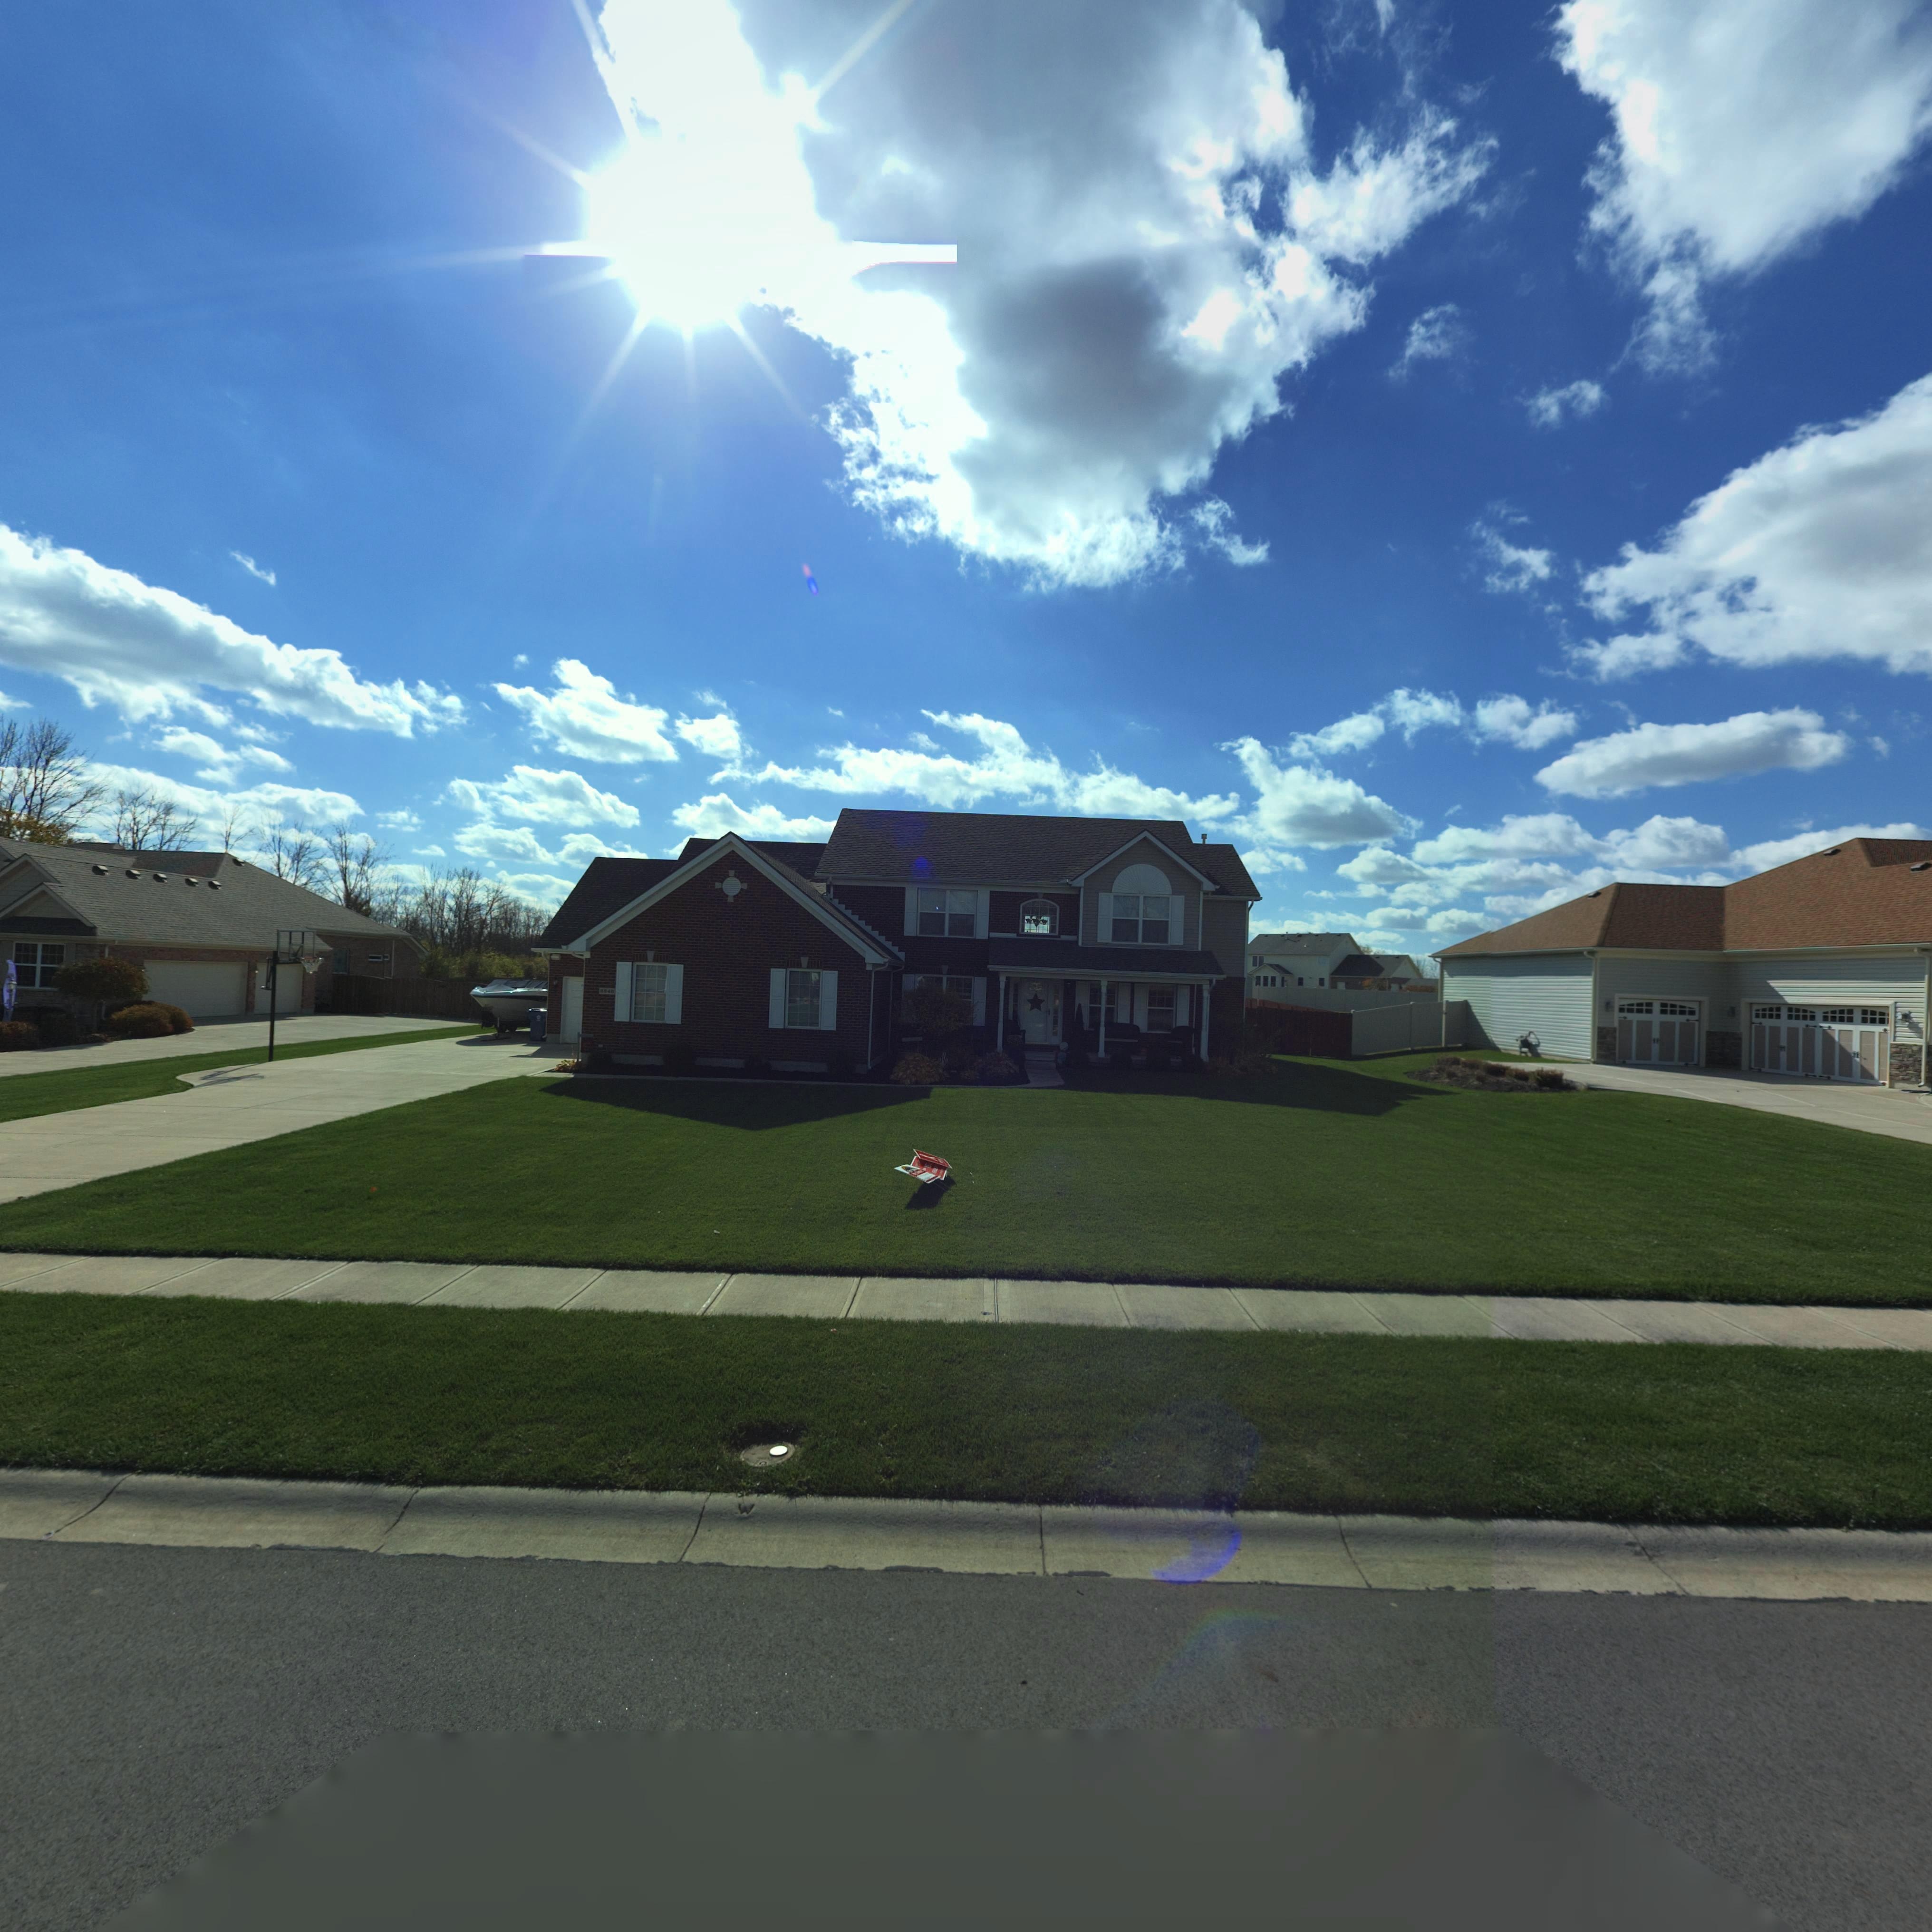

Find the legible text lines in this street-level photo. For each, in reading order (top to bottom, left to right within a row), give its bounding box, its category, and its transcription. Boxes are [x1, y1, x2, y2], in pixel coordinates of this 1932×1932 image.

[599, 988, 615, 994] StreetNumber: 694*